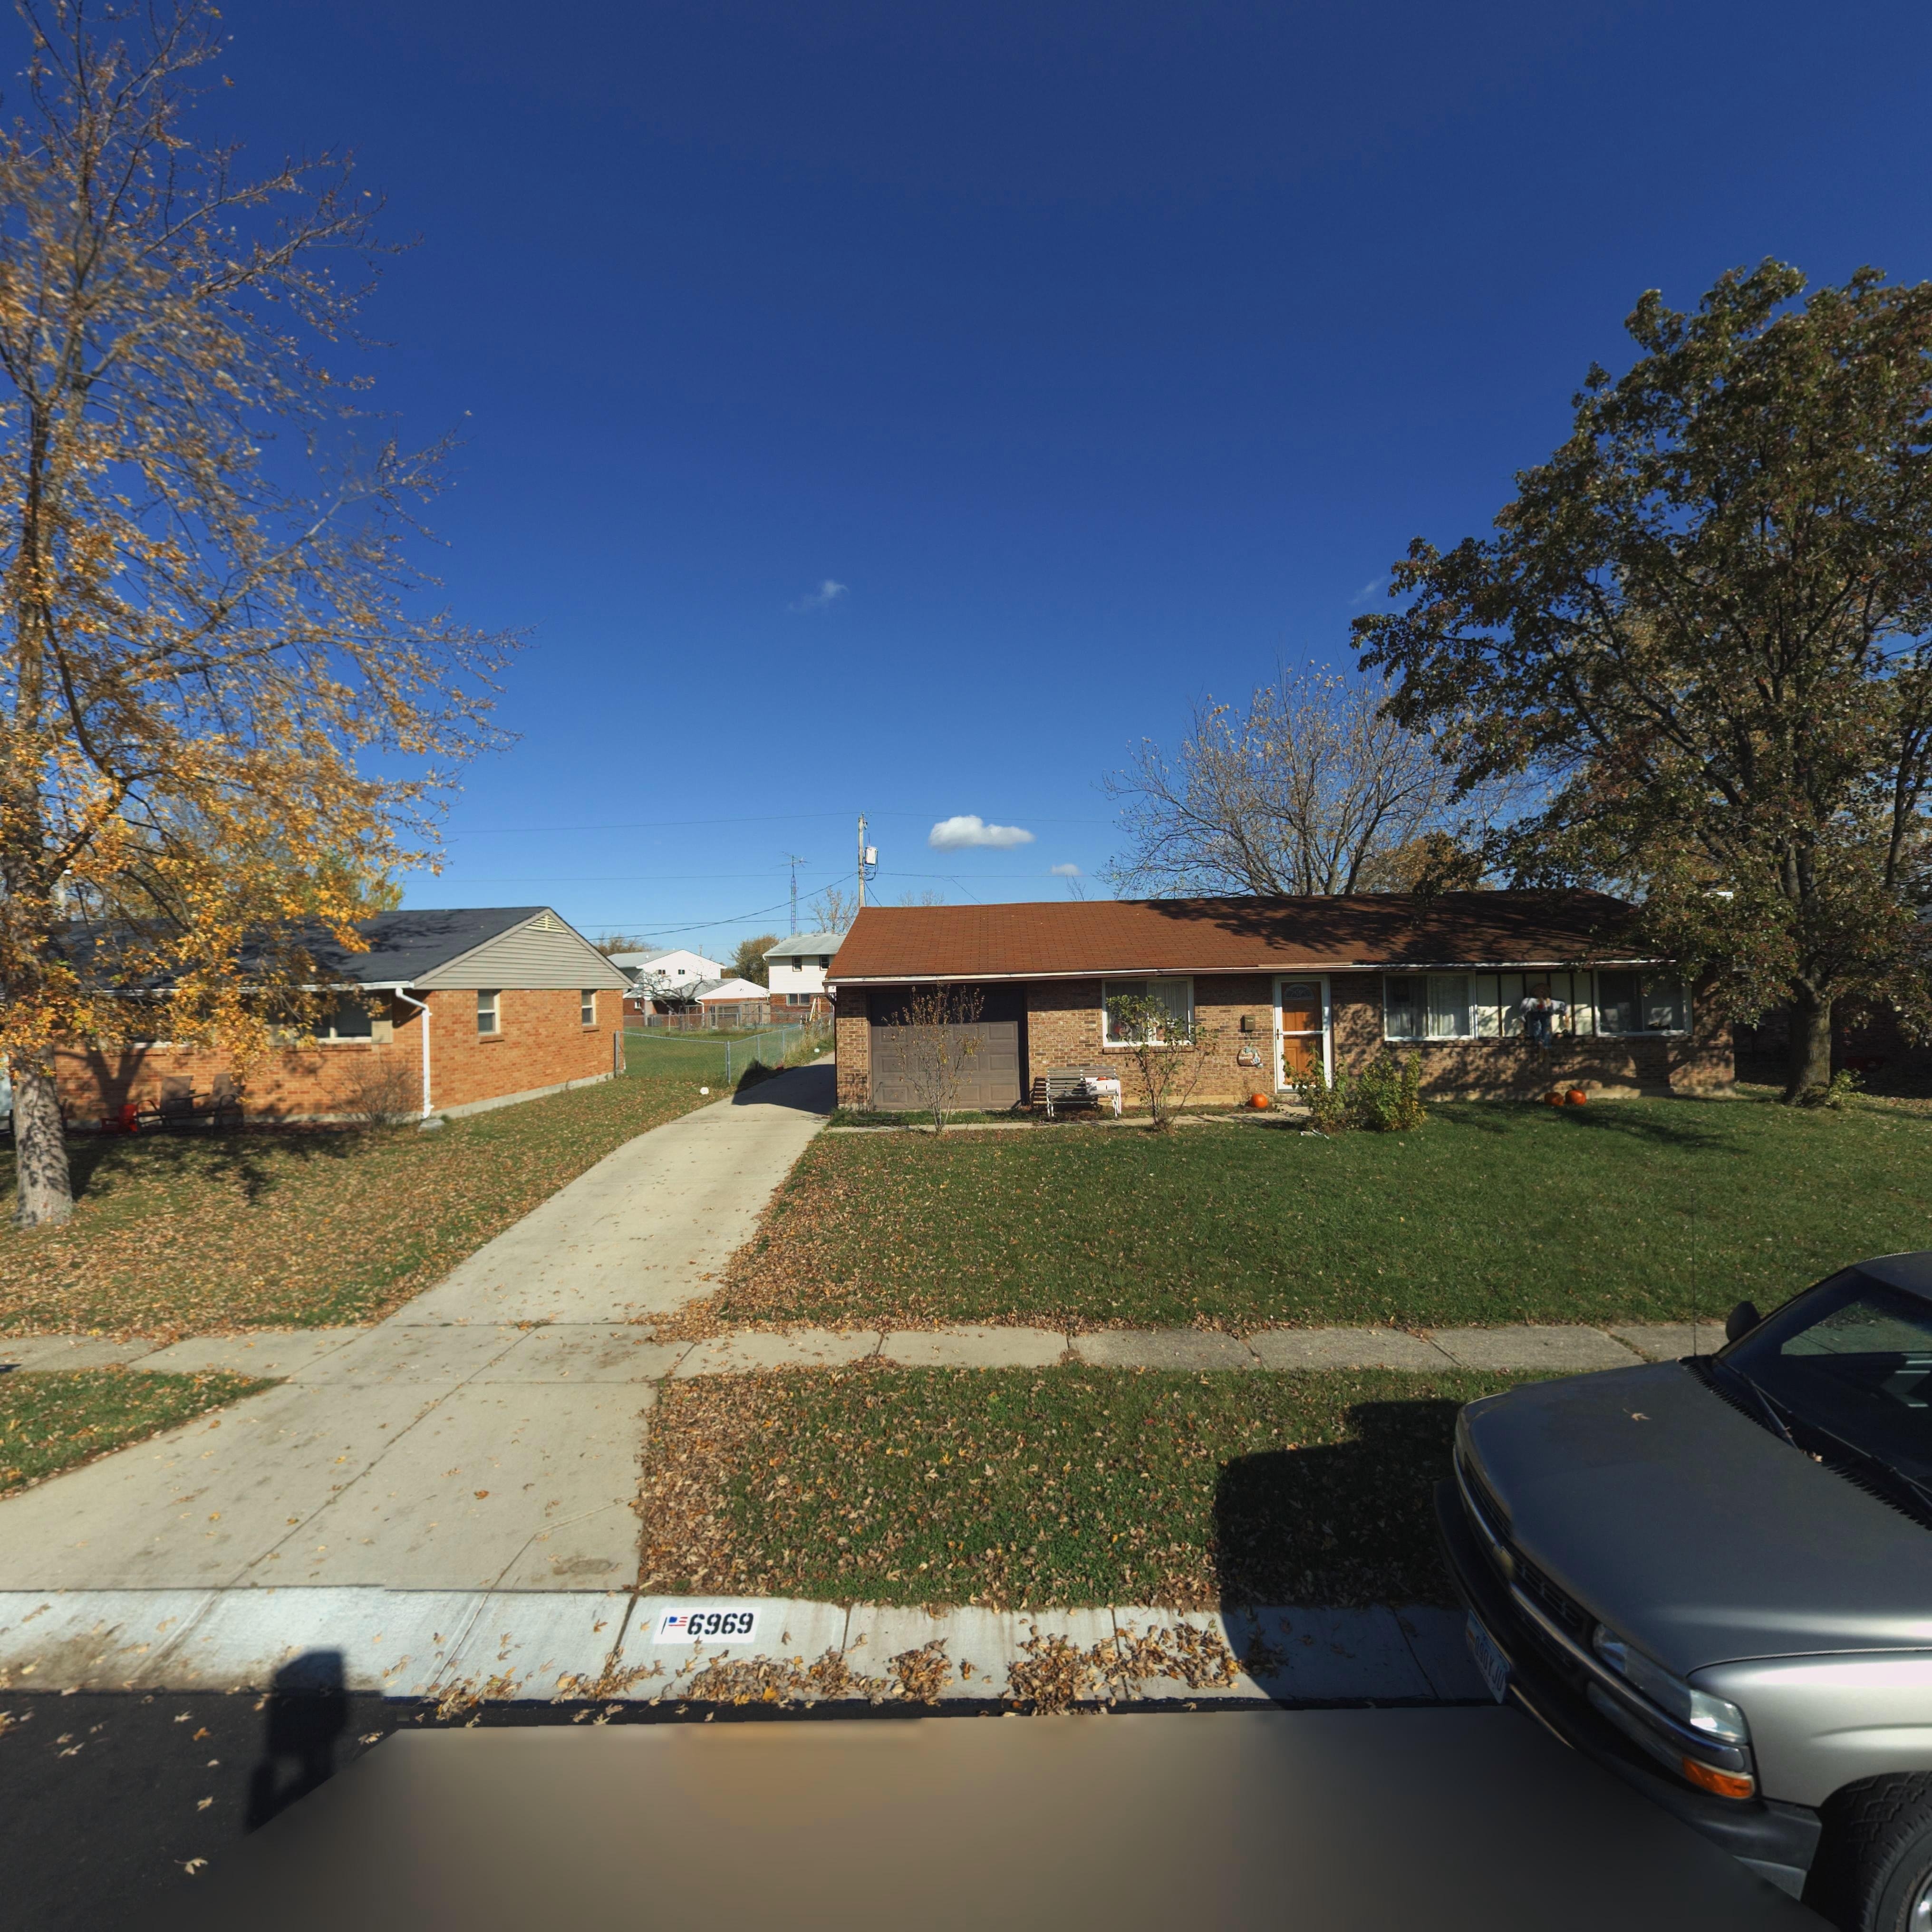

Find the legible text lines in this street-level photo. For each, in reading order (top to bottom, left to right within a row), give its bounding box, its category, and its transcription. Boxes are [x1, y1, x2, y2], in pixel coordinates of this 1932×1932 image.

[931, 984, 936, 991] StreetNumber: 6
[686, 1612, 755, 1636] StreetNumber: 6969